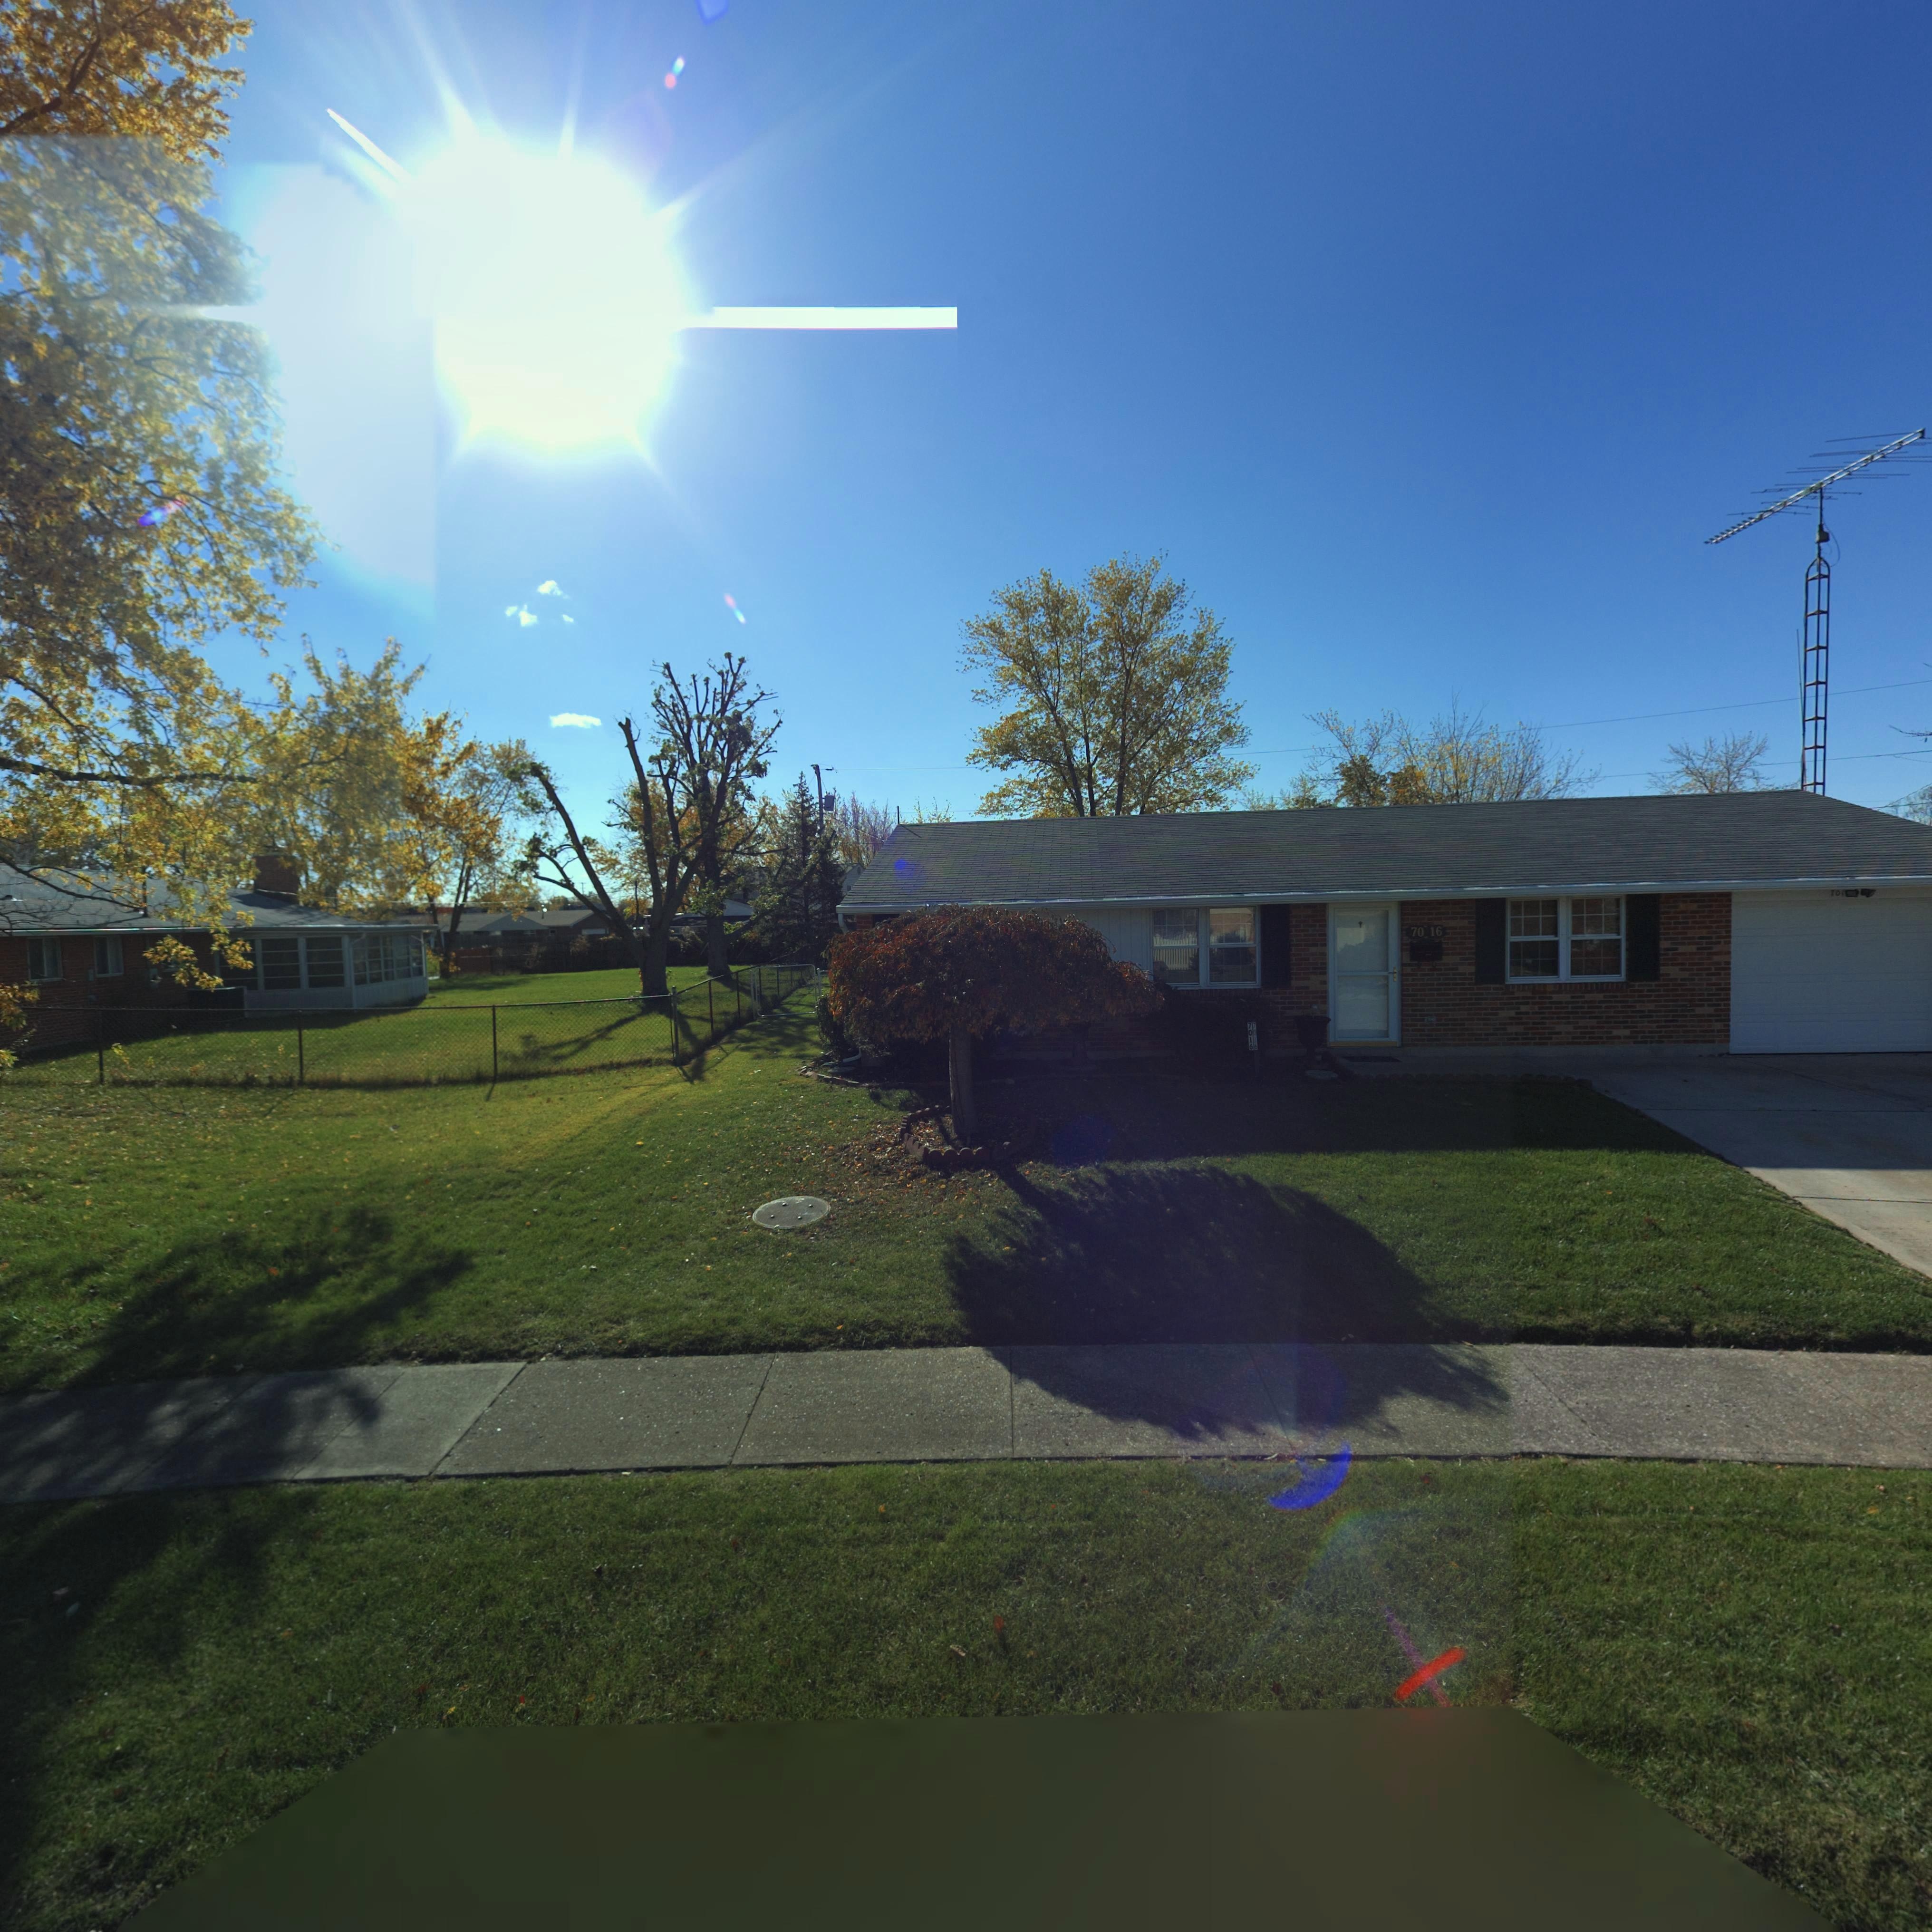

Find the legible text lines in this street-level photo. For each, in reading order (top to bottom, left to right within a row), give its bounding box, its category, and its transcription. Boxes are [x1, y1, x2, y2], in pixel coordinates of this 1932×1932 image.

[1830, 889, 1845, 897] StreetNumber: 701
[1410, 926, 1442, 937] StreetNumber: 70*16